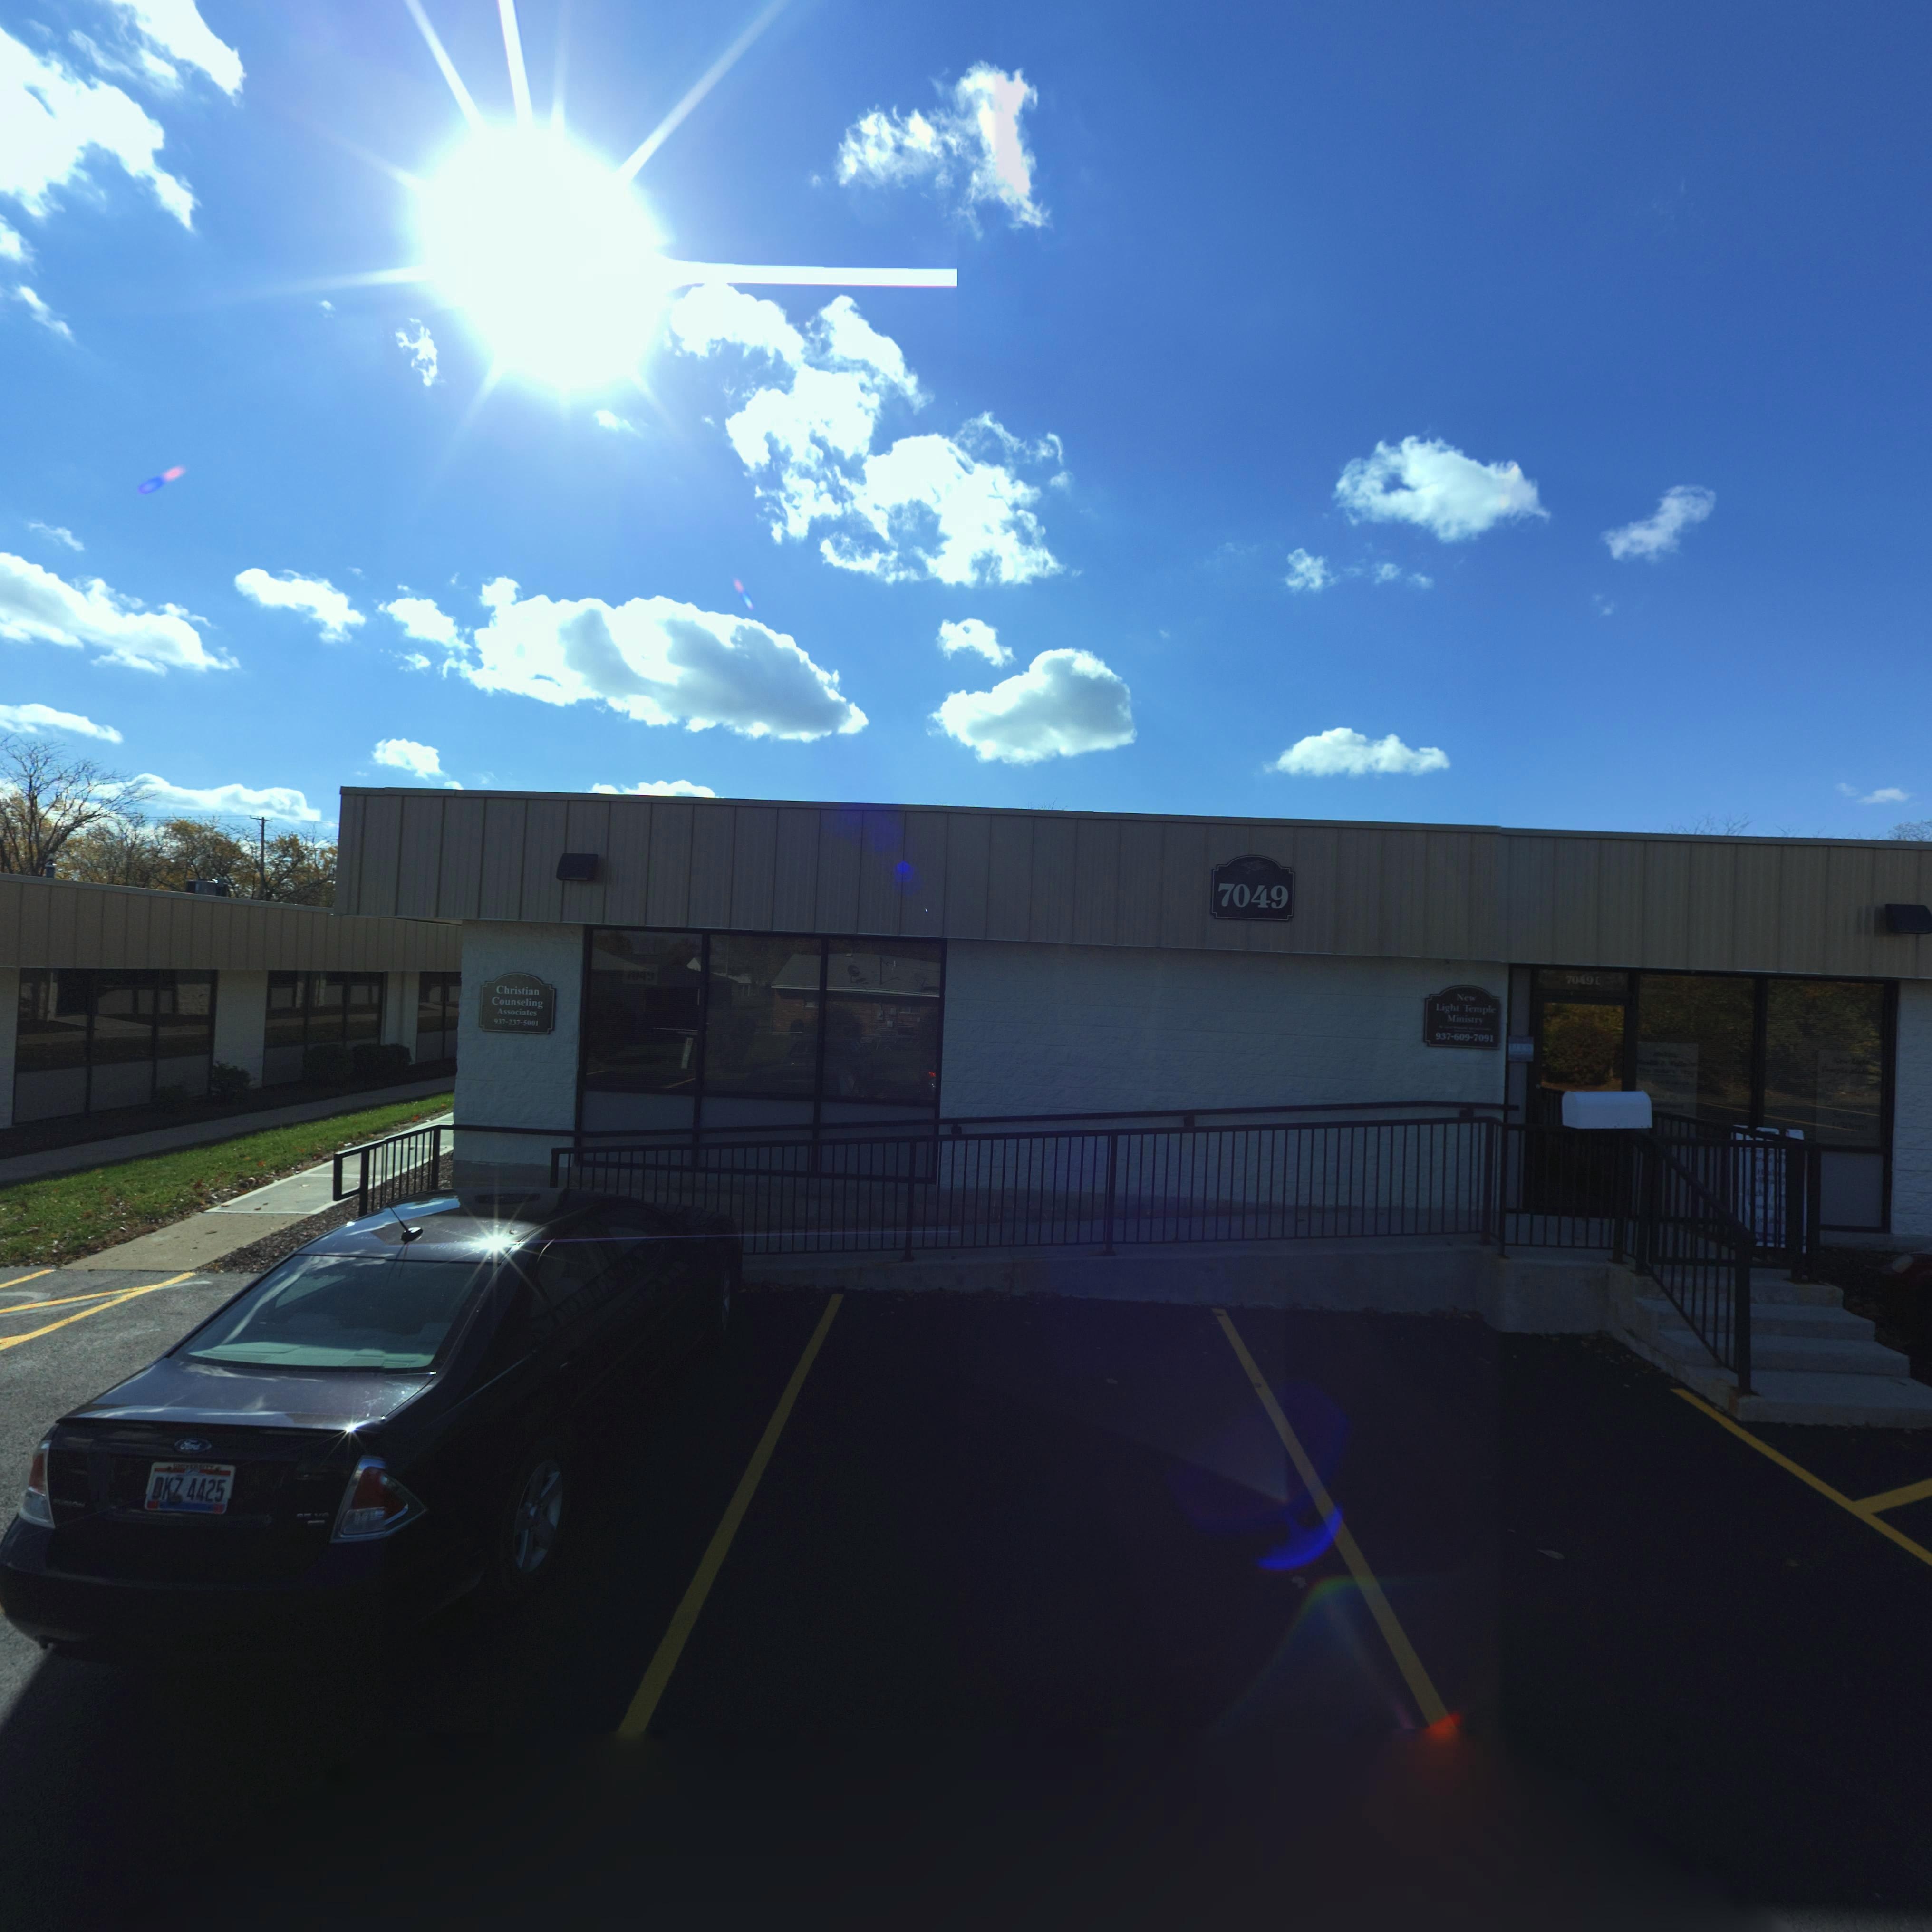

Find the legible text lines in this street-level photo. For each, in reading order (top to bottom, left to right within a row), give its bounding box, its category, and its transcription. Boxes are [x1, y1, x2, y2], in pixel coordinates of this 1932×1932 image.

[1216, 881, 1291, 911] StreetNumber: 7049
[1565, 974, 1602, 987] StreetNumber: 7049 C